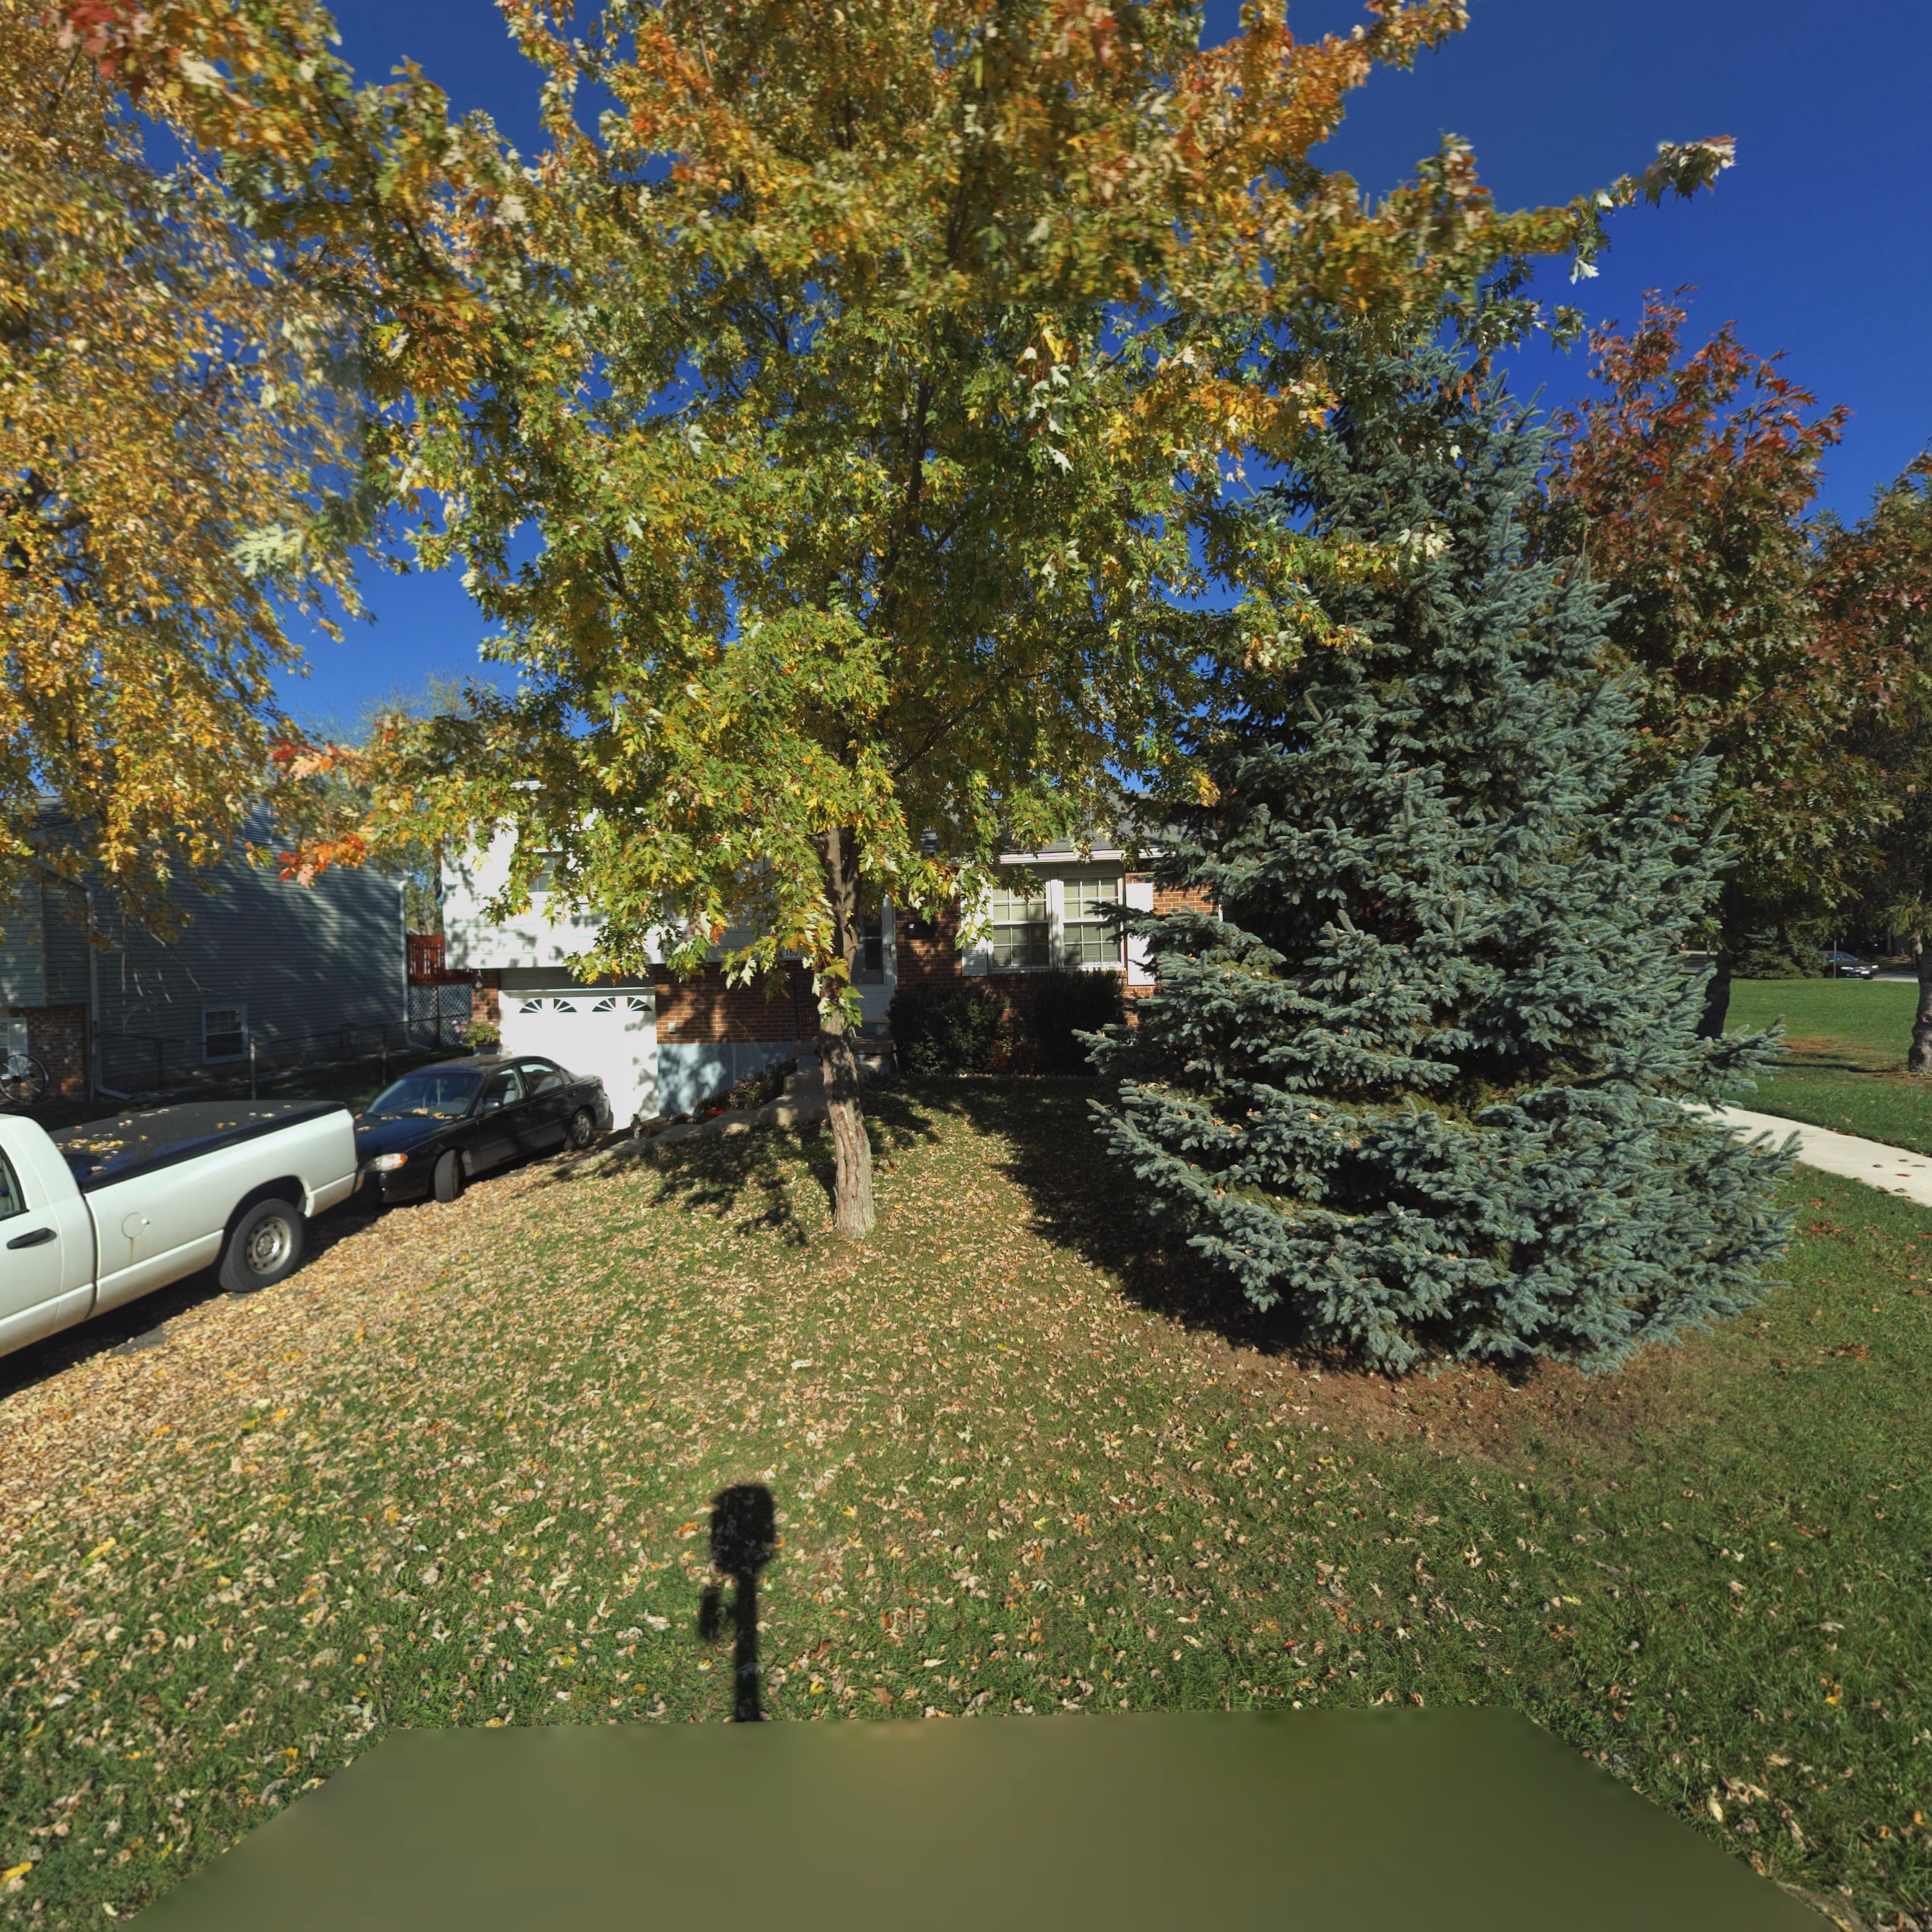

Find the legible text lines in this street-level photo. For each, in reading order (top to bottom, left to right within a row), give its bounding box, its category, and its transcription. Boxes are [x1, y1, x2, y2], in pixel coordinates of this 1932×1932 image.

[784, 947, 800, 957] StreetNumber: 1**